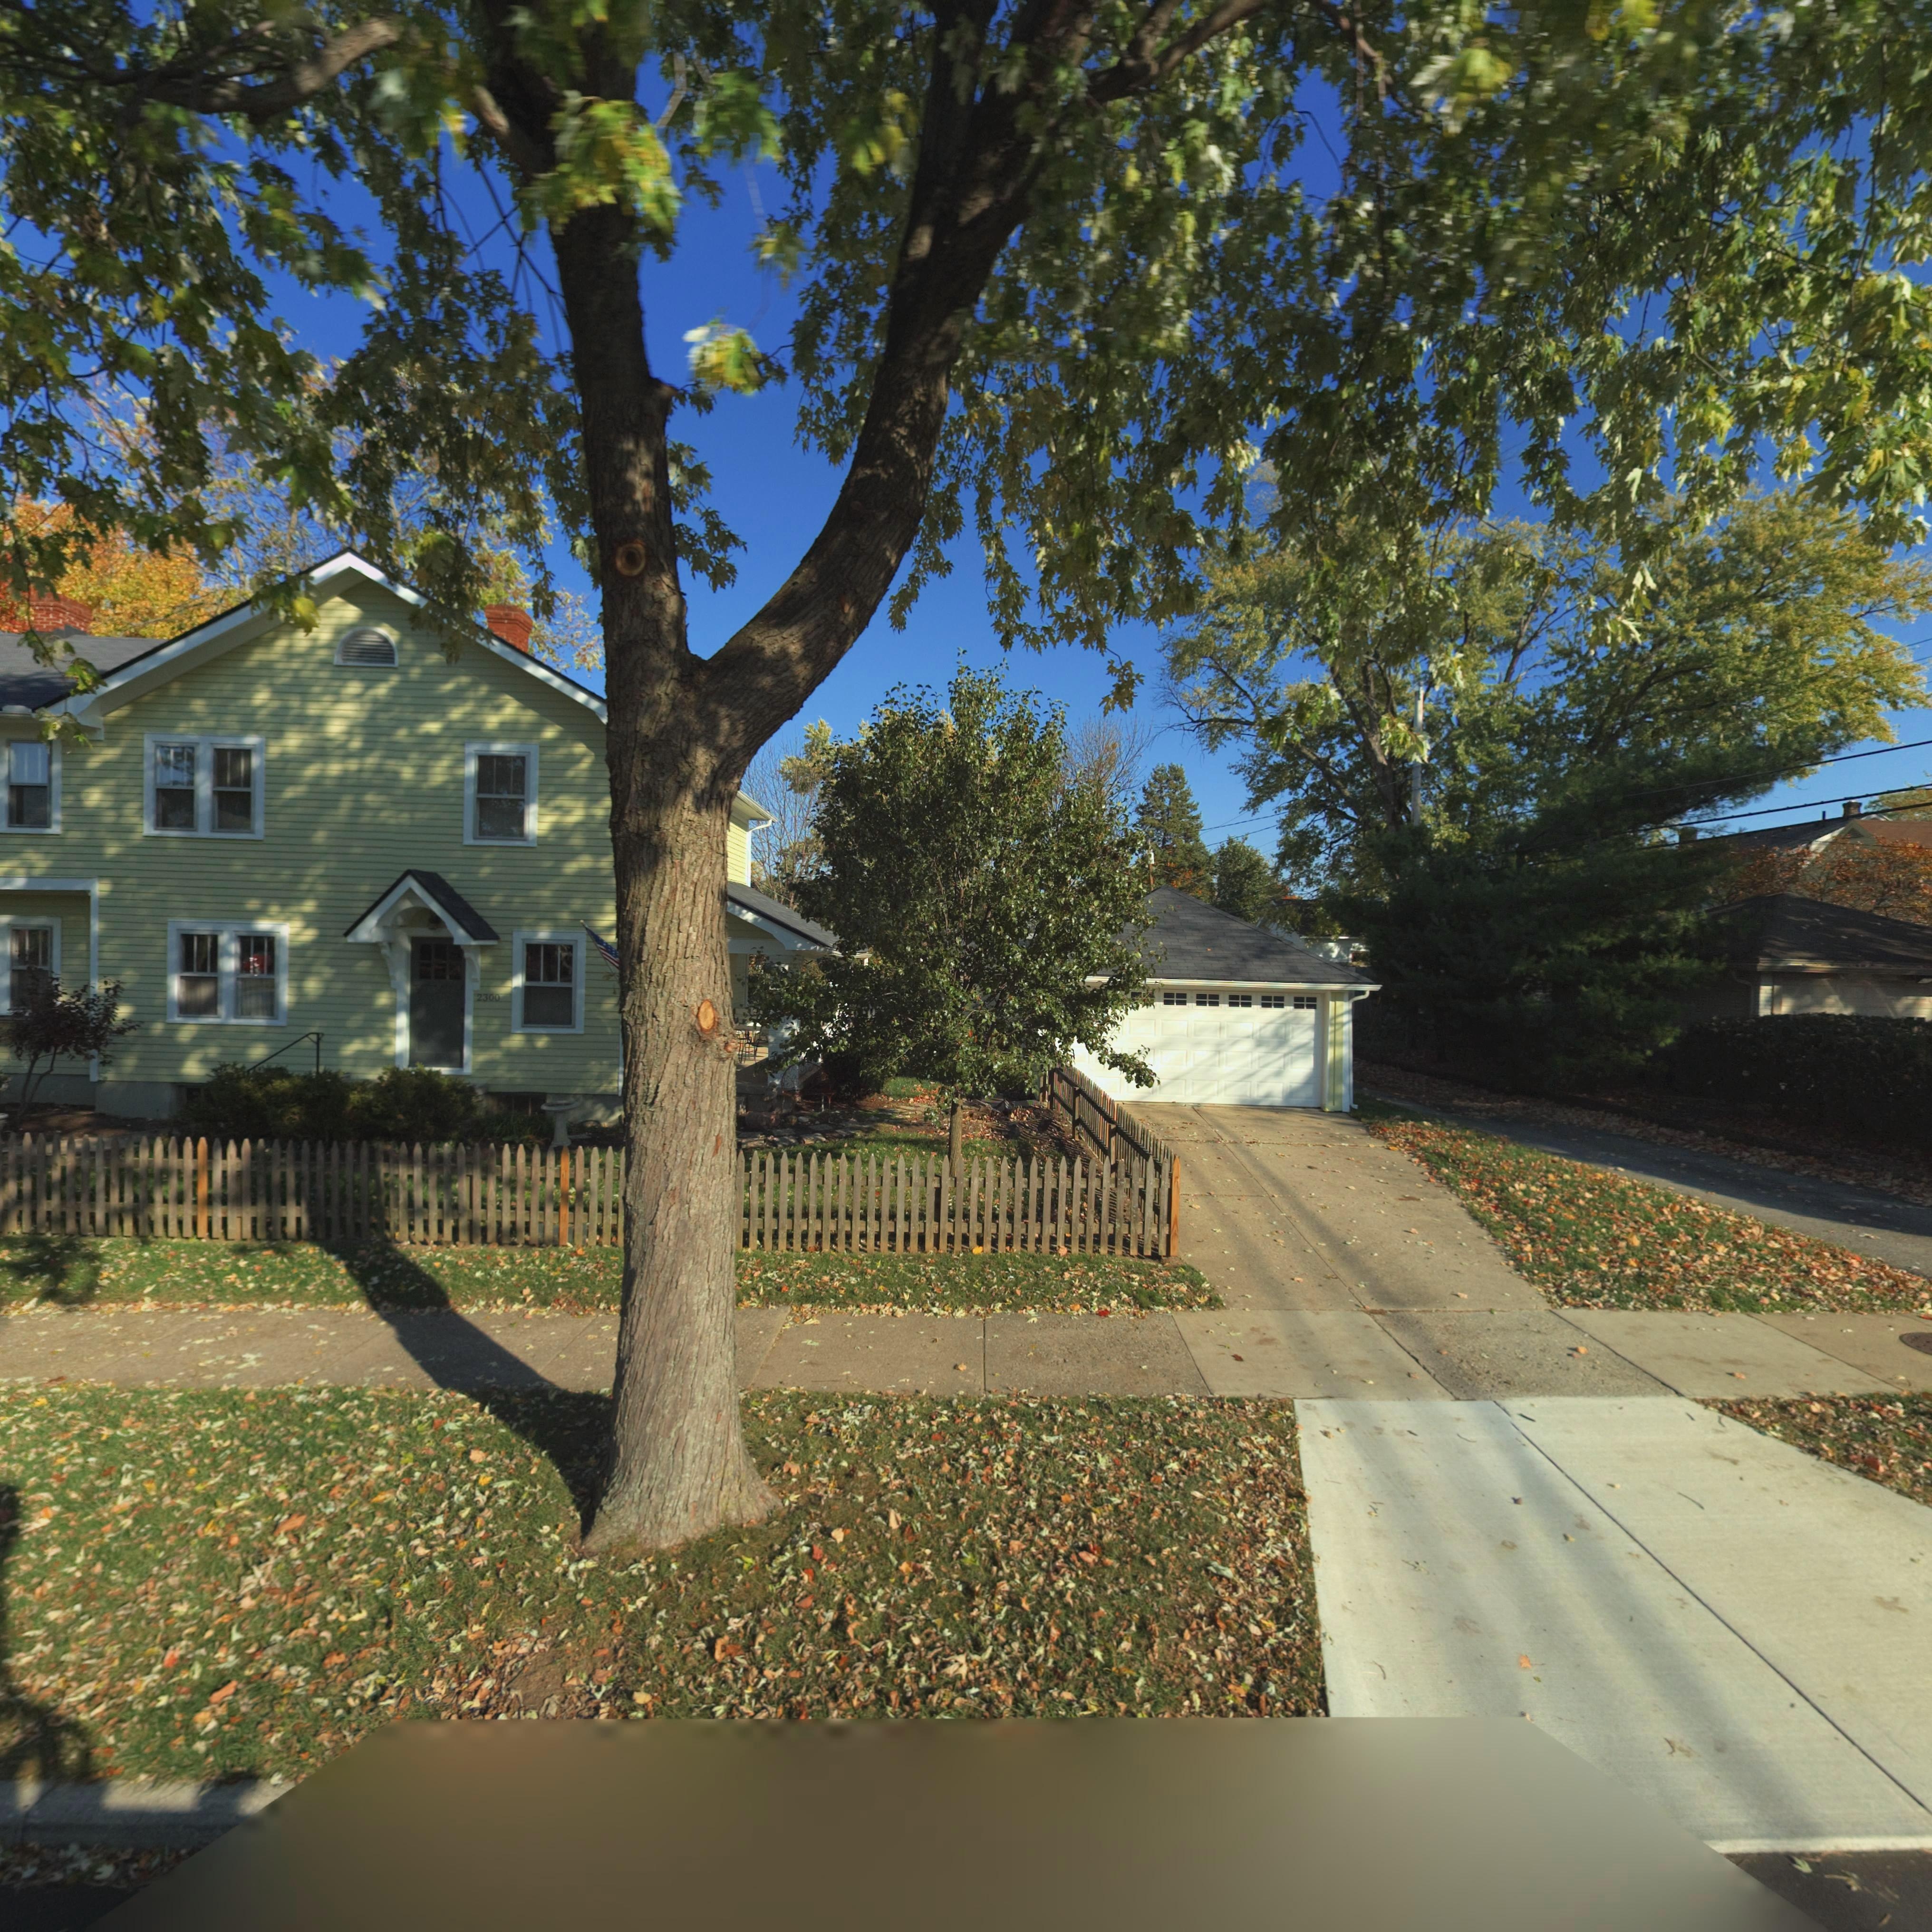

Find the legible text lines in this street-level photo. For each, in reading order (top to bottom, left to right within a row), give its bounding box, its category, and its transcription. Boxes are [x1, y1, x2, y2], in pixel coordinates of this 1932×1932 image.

[475, 992, 502, 1003] StreetNumber: 2300